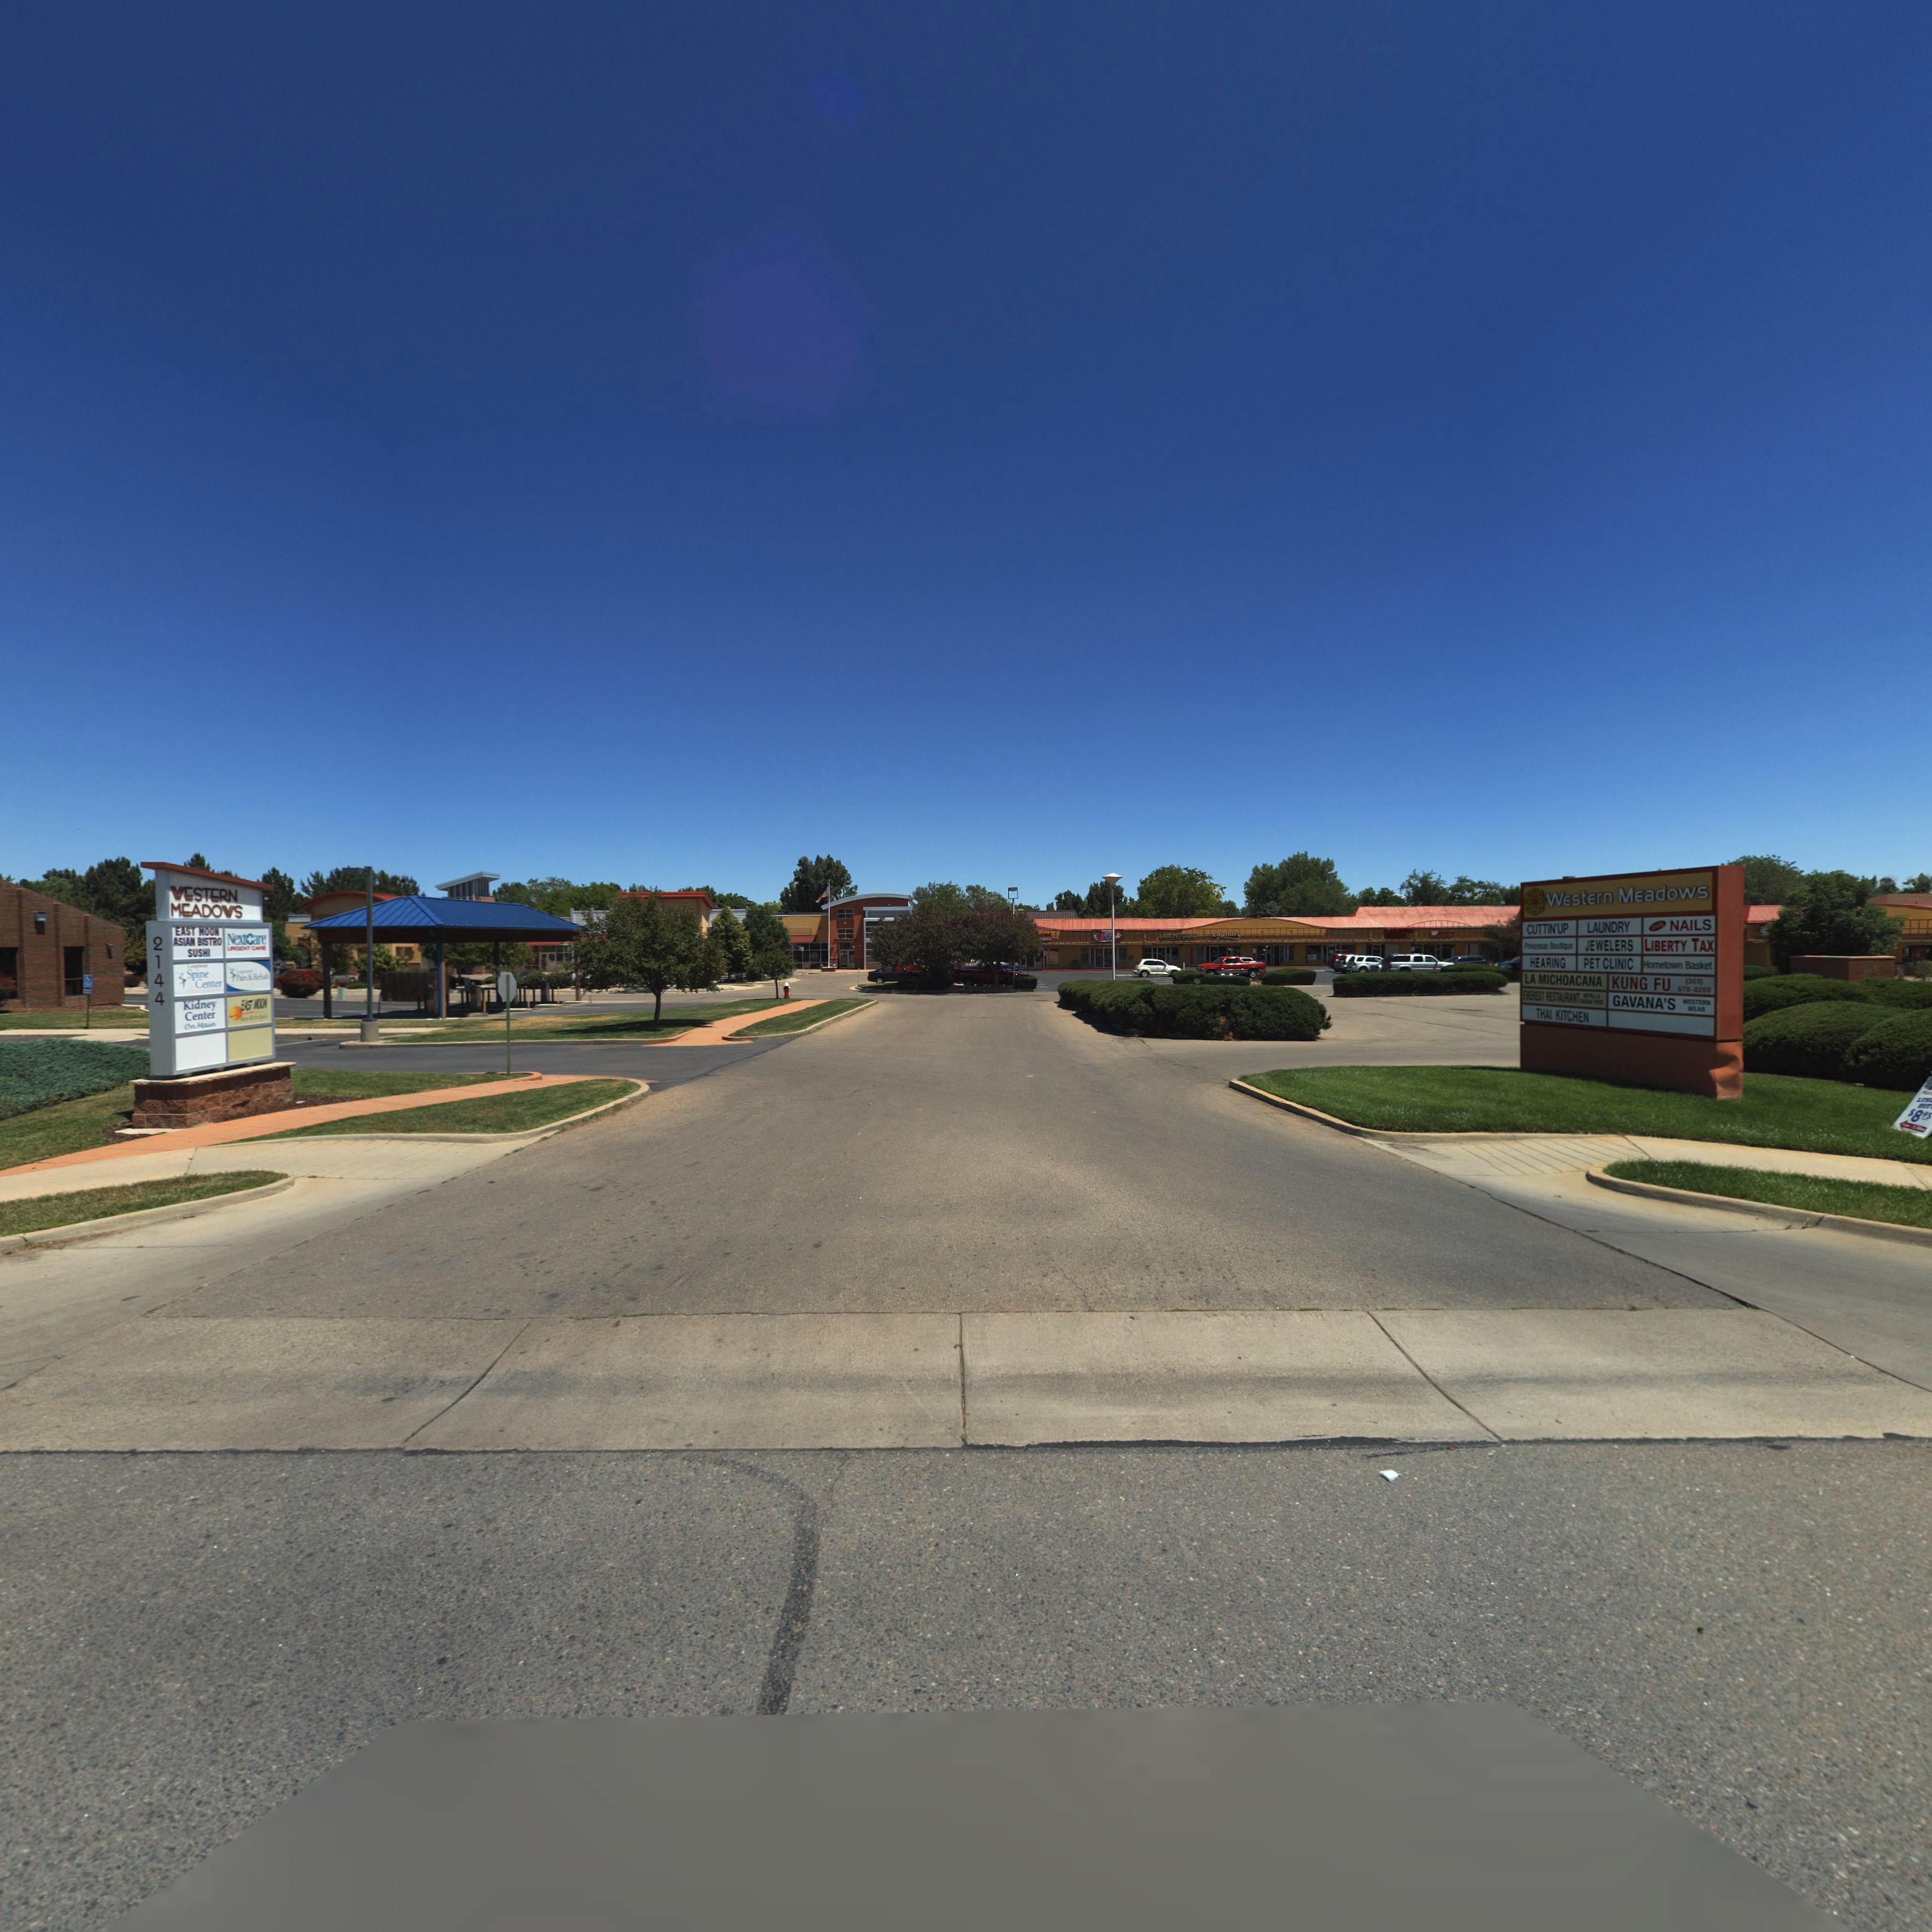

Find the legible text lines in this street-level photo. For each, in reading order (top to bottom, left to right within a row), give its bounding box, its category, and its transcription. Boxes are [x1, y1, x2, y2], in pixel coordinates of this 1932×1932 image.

[777, 917, 782, 920] StreetNumber: 44
[175, 926, 219, 936] BusinessName: EAST MOON
[172, 936, 222, 947] BusinessName: ASIAN BISTRO
[187, 947, 210, 957] BusinessName: SUSHI
[226, 945, 267, 951] BusinessName: URGENT CARE
[226, 932, 267, 945] StreetName: NextCare
[1159, 932, 1196, 938] BusinessName: LA*E PET CLINIC
[1526, 922, 1569, 935] BusinessName: CUTTIN' UP
[1524, 941, 1574, 951] BusinessName: Princes*s Boutique
[1644, 937, 1714, 952] BusinessName: LIBERTY TAX
[152, 935, 166, 1007] StreetNumber: 2144
[187, 962, 209, 969] BusinessName: Longmont
[186, 968, 210, 981] BusinessName: Spine
[194, 978, 223, 988] BusinessName: Center
[235, 968, 252, 976] BusinessName: L*******
[234, 972, 270, 982] BusinessName: Pain & Rehab
[1524, 972, 1603, 987] BusinessName: LA MICHOACANA
[1642, 959, 1713, 970] BusinessName: Hometown Basket
[1522, 988, 1581, 1004] BusinessName: EVEREST RESAURANT
[183, 999, 217, 1011] BusinessName: Kidney
[240, 997, 268, 1011] BusinessName: EAST *OO*
[1612, 994, 1676, 1010] BusinessName: GAVANA'S
[1687, 1005, 1706, 1012] BusinessName: WEAR
[1682, 998, 1711, 1005] BusinessName: WESTERN
[184, 1010, 216, 1022] BusinessName: Center